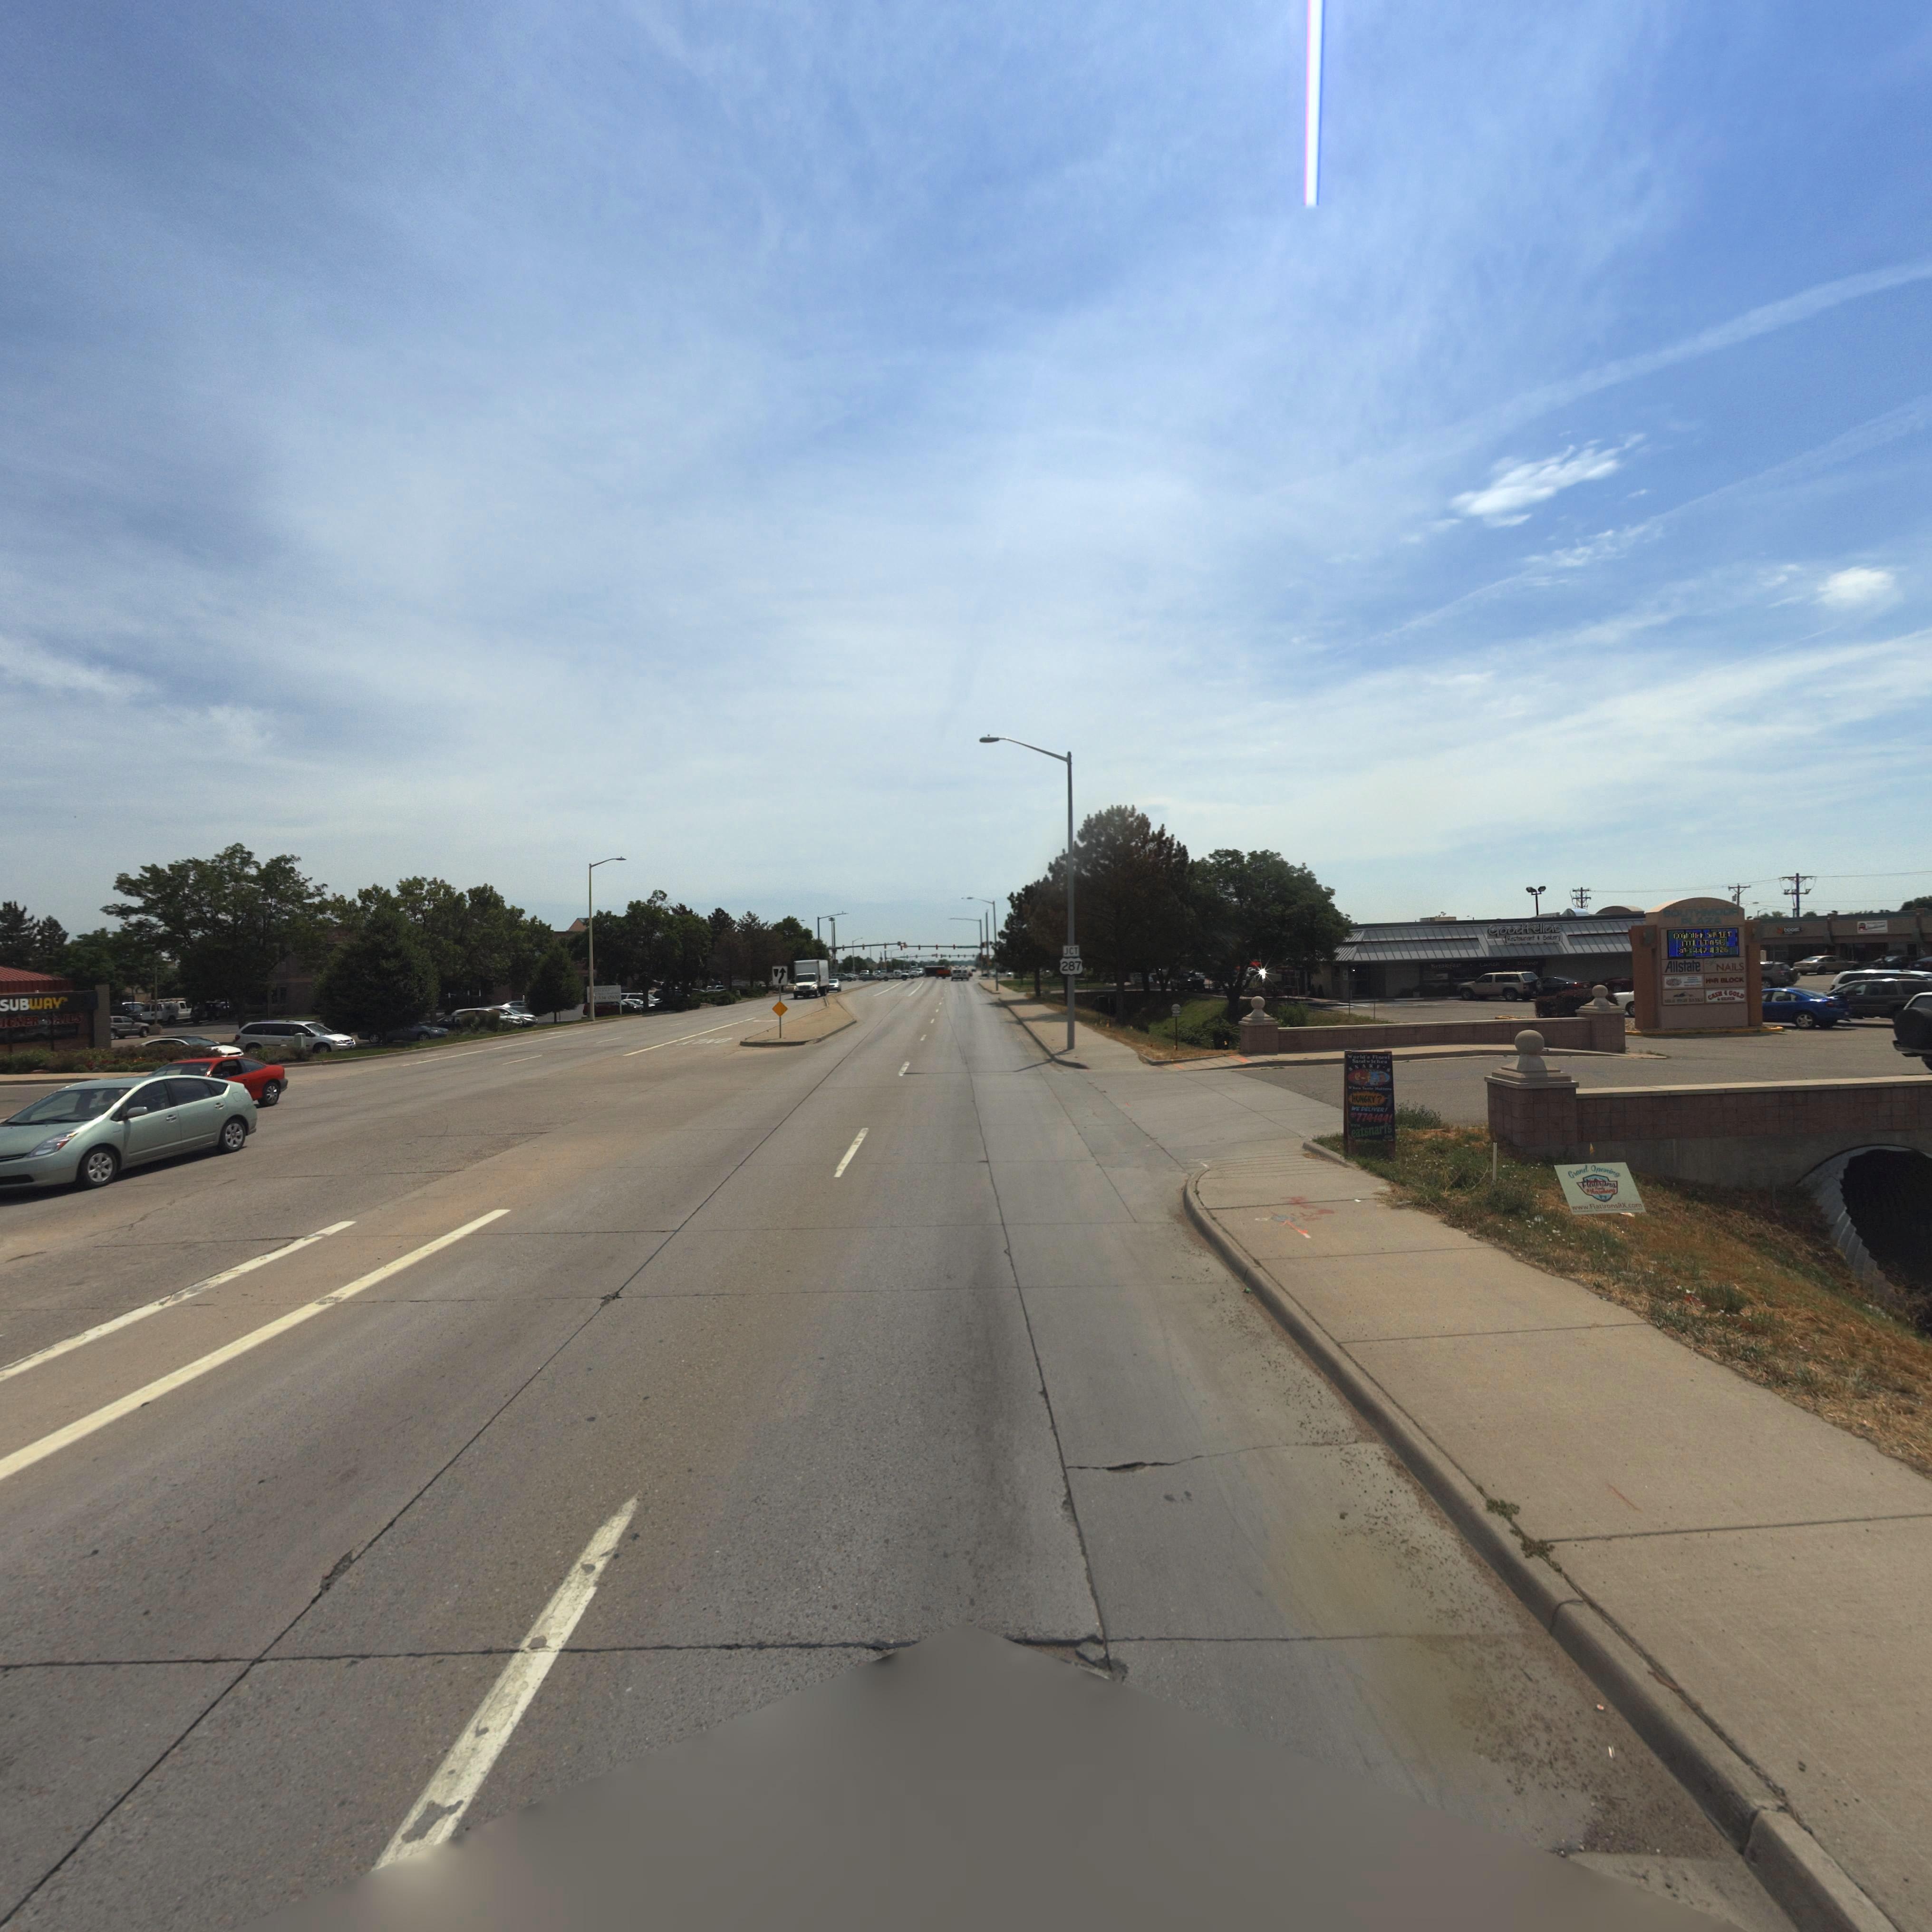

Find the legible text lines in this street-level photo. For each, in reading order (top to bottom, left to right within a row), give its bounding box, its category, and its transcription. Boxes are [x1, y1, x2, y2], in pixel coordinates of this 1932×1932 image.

[1487, 922, 1564, 937] BusinessName: Goodfellas
[1784, 927, 1801, 932] BusinessName: boo**
[1507, 933, 1561, 942] BusinessName: Restaurant * Bakery
[1664, 959, 1702, 972] BusinessName: Allstate
[1716, 961, 1745, 972] BusinessName: NAILS
[1706, 990, 1745, 1000] BusinessName: CASH 4 GOLD
[0, 996, 69, 1012] BusinessName: SUBWAY
[0, 1013, 84, 1028] BusinessName: IGNER *AILS
[1347, 1063, 1391, 1073] BusinessName: SNARF'S